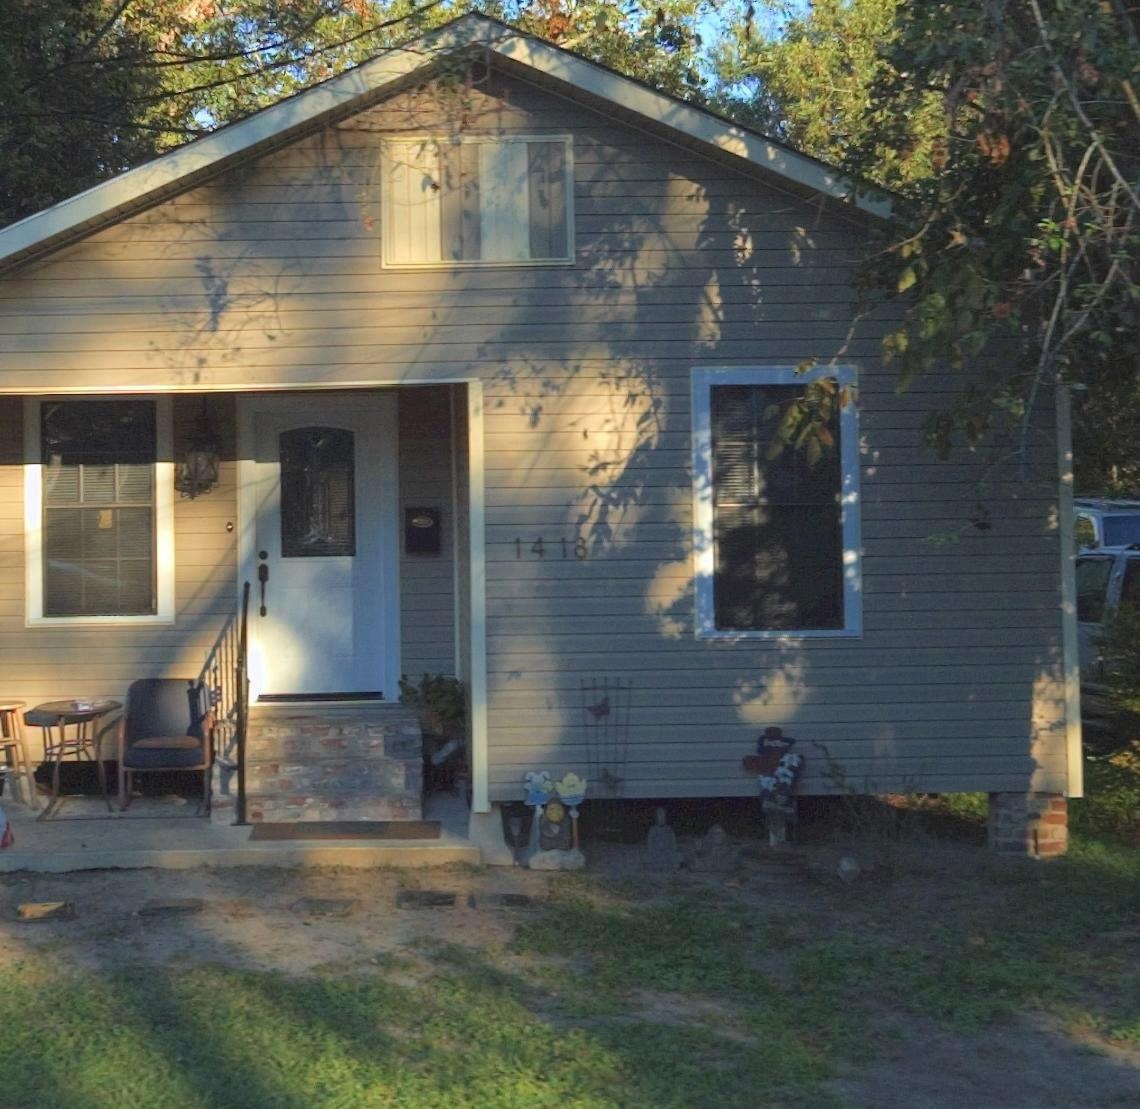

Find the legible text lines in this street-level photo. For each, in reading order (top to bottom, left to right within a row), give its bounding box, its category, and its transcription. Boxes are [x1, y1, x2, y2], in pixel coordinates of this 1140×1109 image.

[511, 534, 592, 561] StreetNumber: 1418